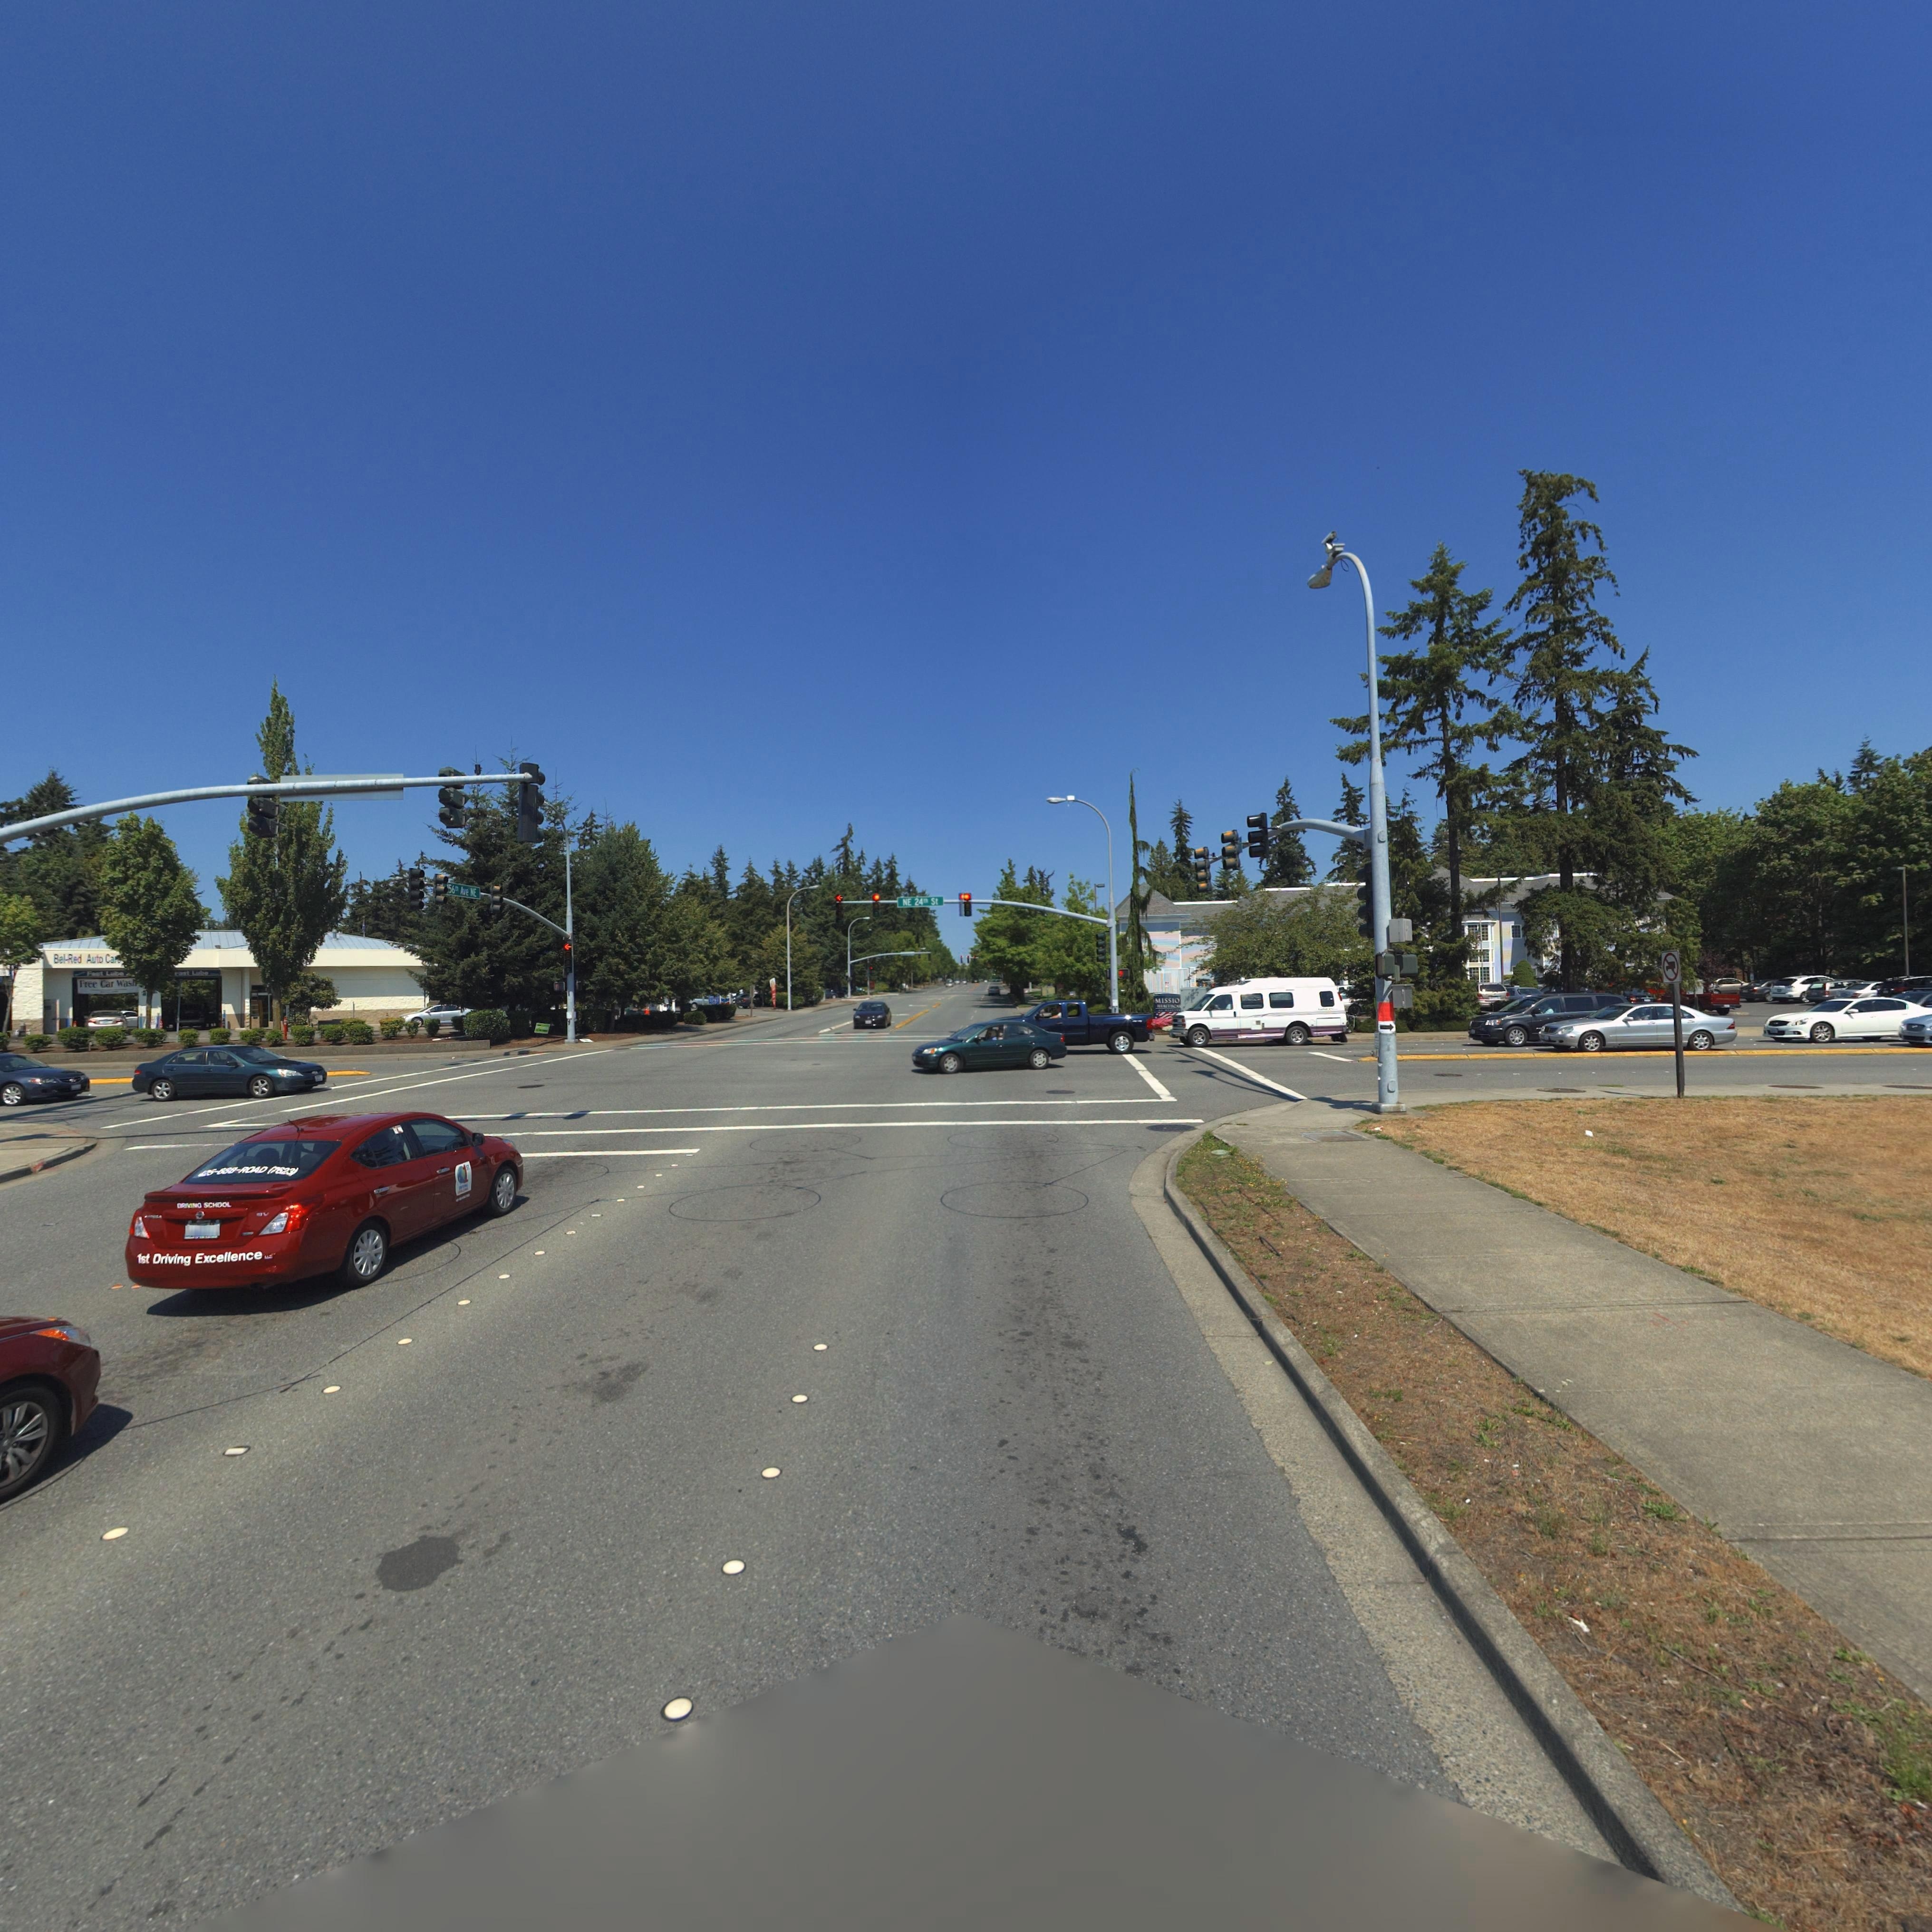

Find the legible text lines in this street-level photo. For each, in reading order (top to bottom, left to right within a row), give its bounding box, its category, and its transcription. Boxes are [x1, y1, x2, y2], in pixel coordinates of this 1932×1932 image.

[448, 884, 476, 897] StreetName: 56** Ave NE
[903, 898, 938, 906] StreetName: NE 24** St
[54, 953, 114, 964] BusinessName: Bel-Red Auto Ca
[1155, 998, 1179, 1004] BusinessName: MISSIO